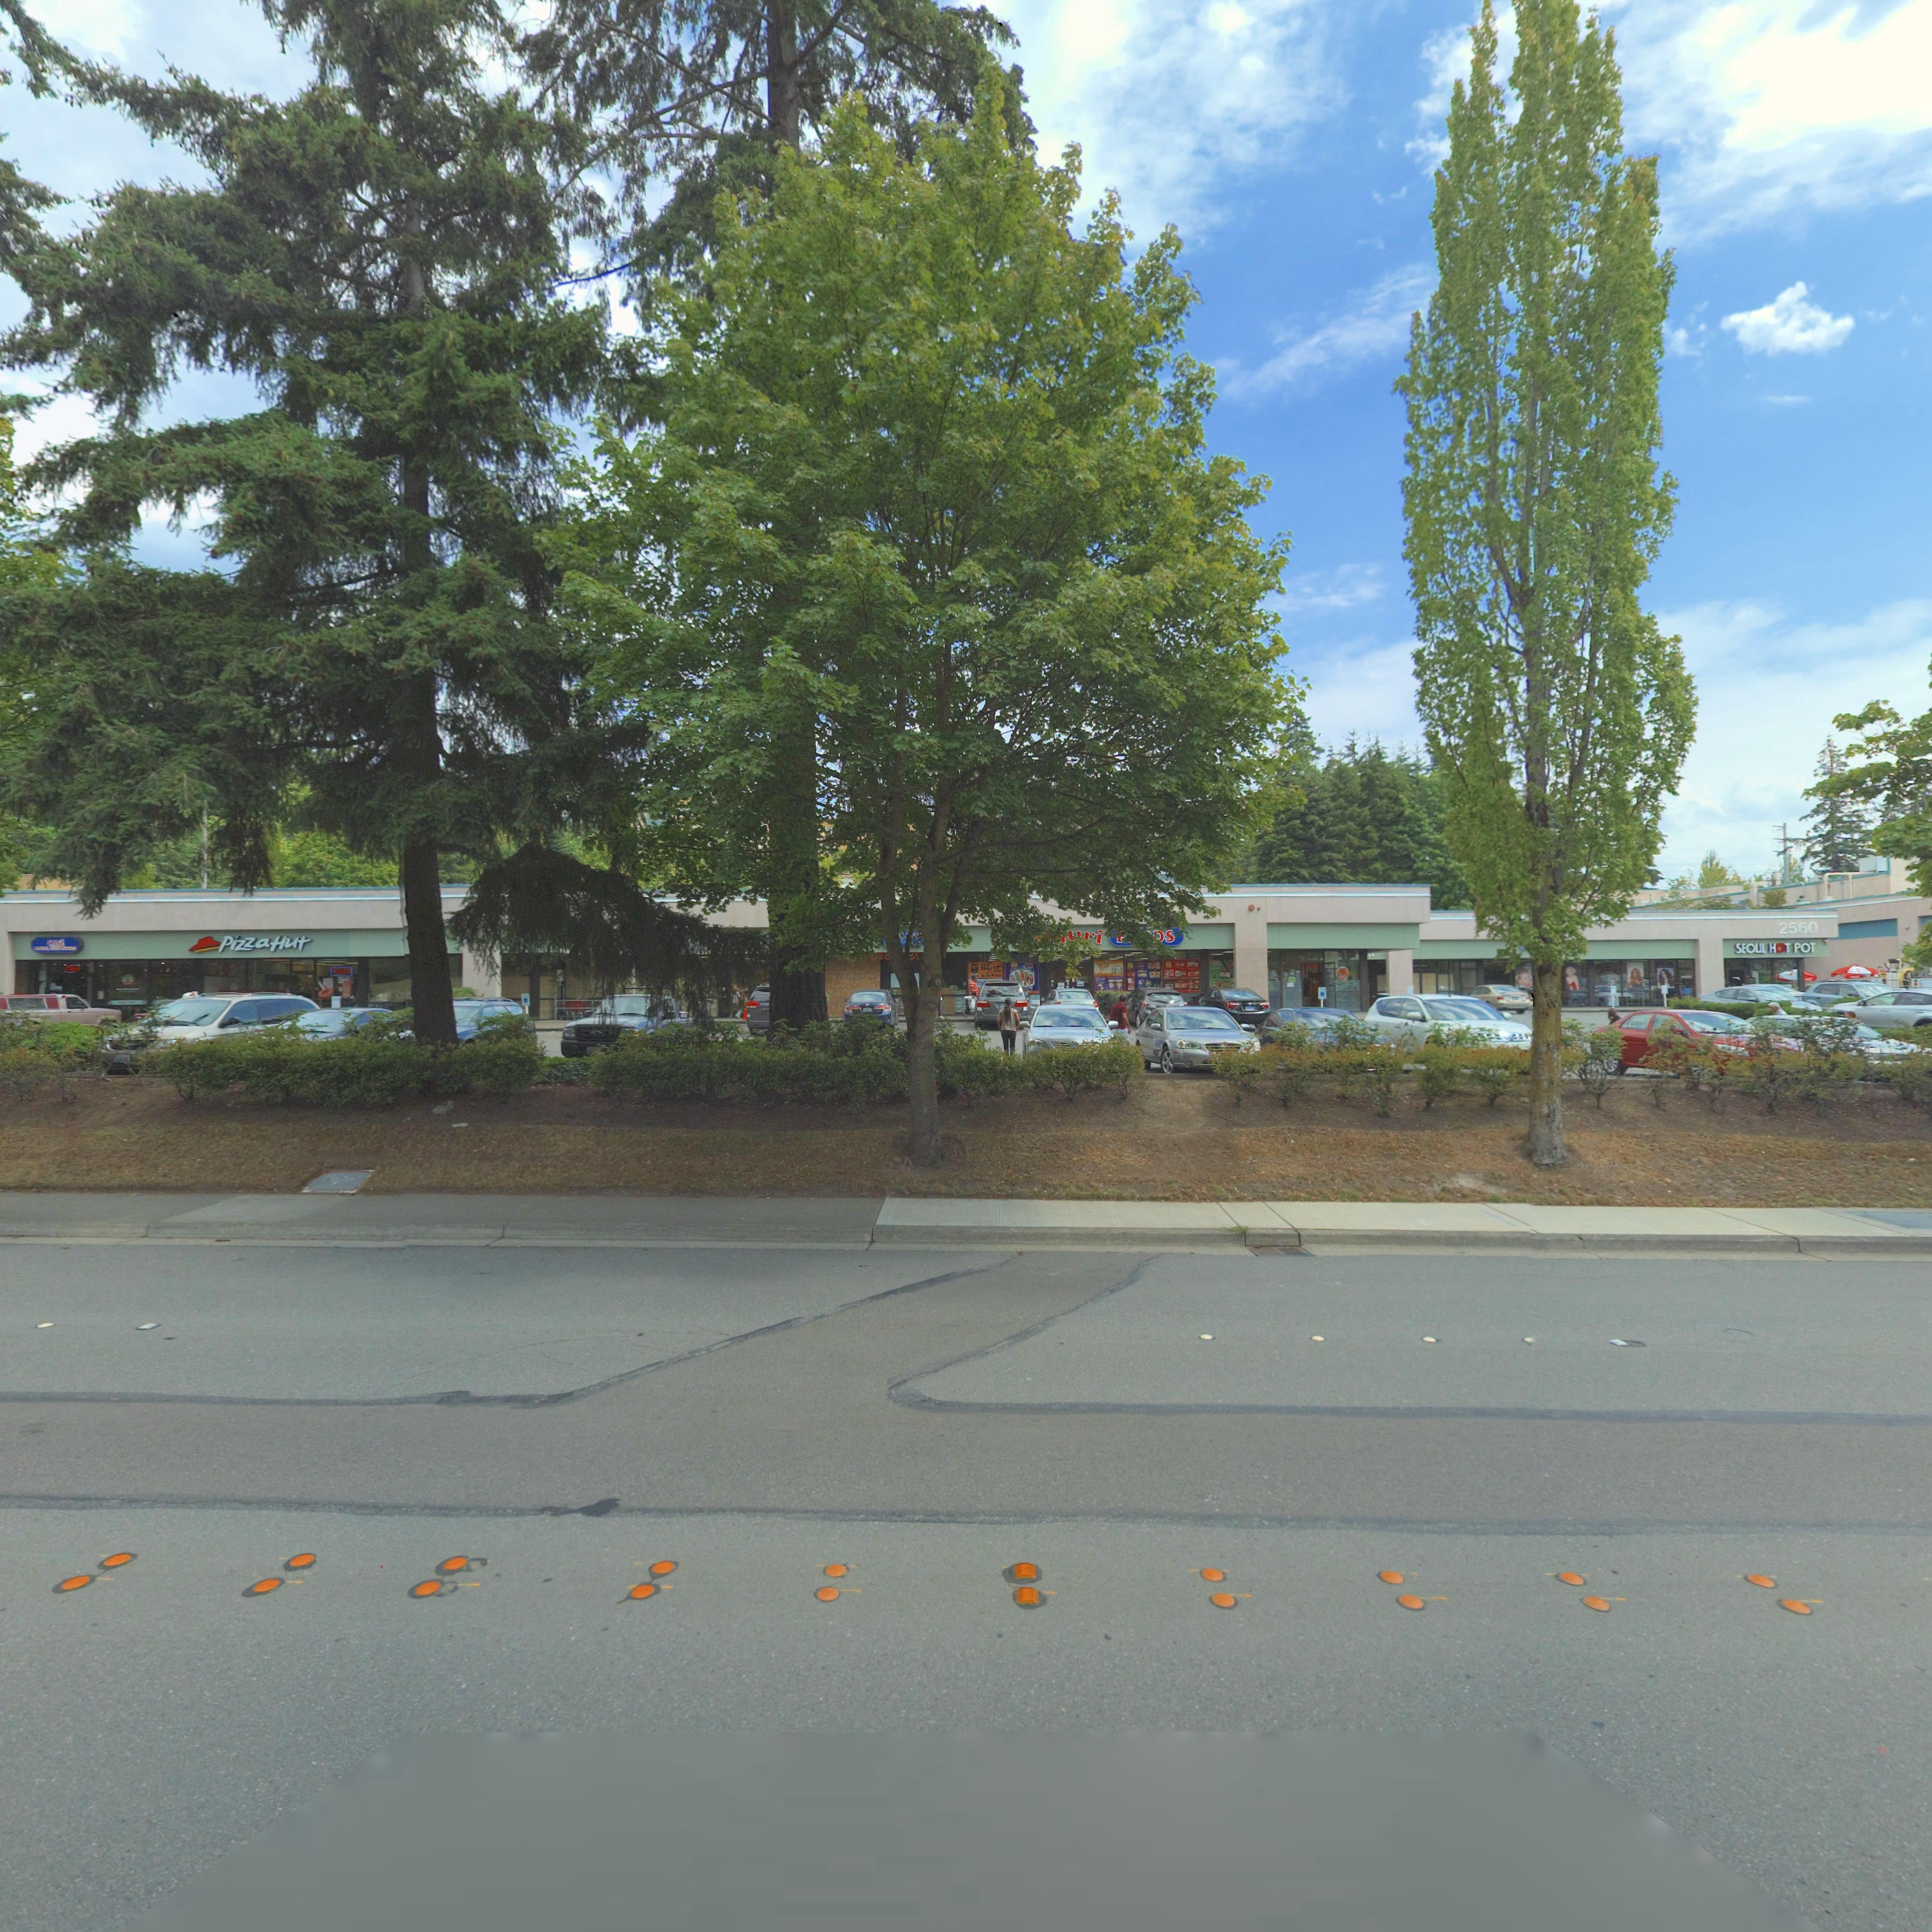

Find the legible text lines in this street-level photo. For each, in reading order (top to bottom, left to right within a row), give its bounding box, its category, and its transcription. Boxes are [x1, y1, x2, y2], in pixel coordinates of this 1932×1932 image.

[1778, 922, 1817, 934] StreetNumber: 2560
[218, 934, 313, 952] BusinessName: PizzaHut
[1067, 928, 1105, 943] BusinessName: **uri
[1151, 929, 1175, 943] BusinessName: ***DS
[1735, 942, 1815, 954] BusinessName: SEOUL HOT POT